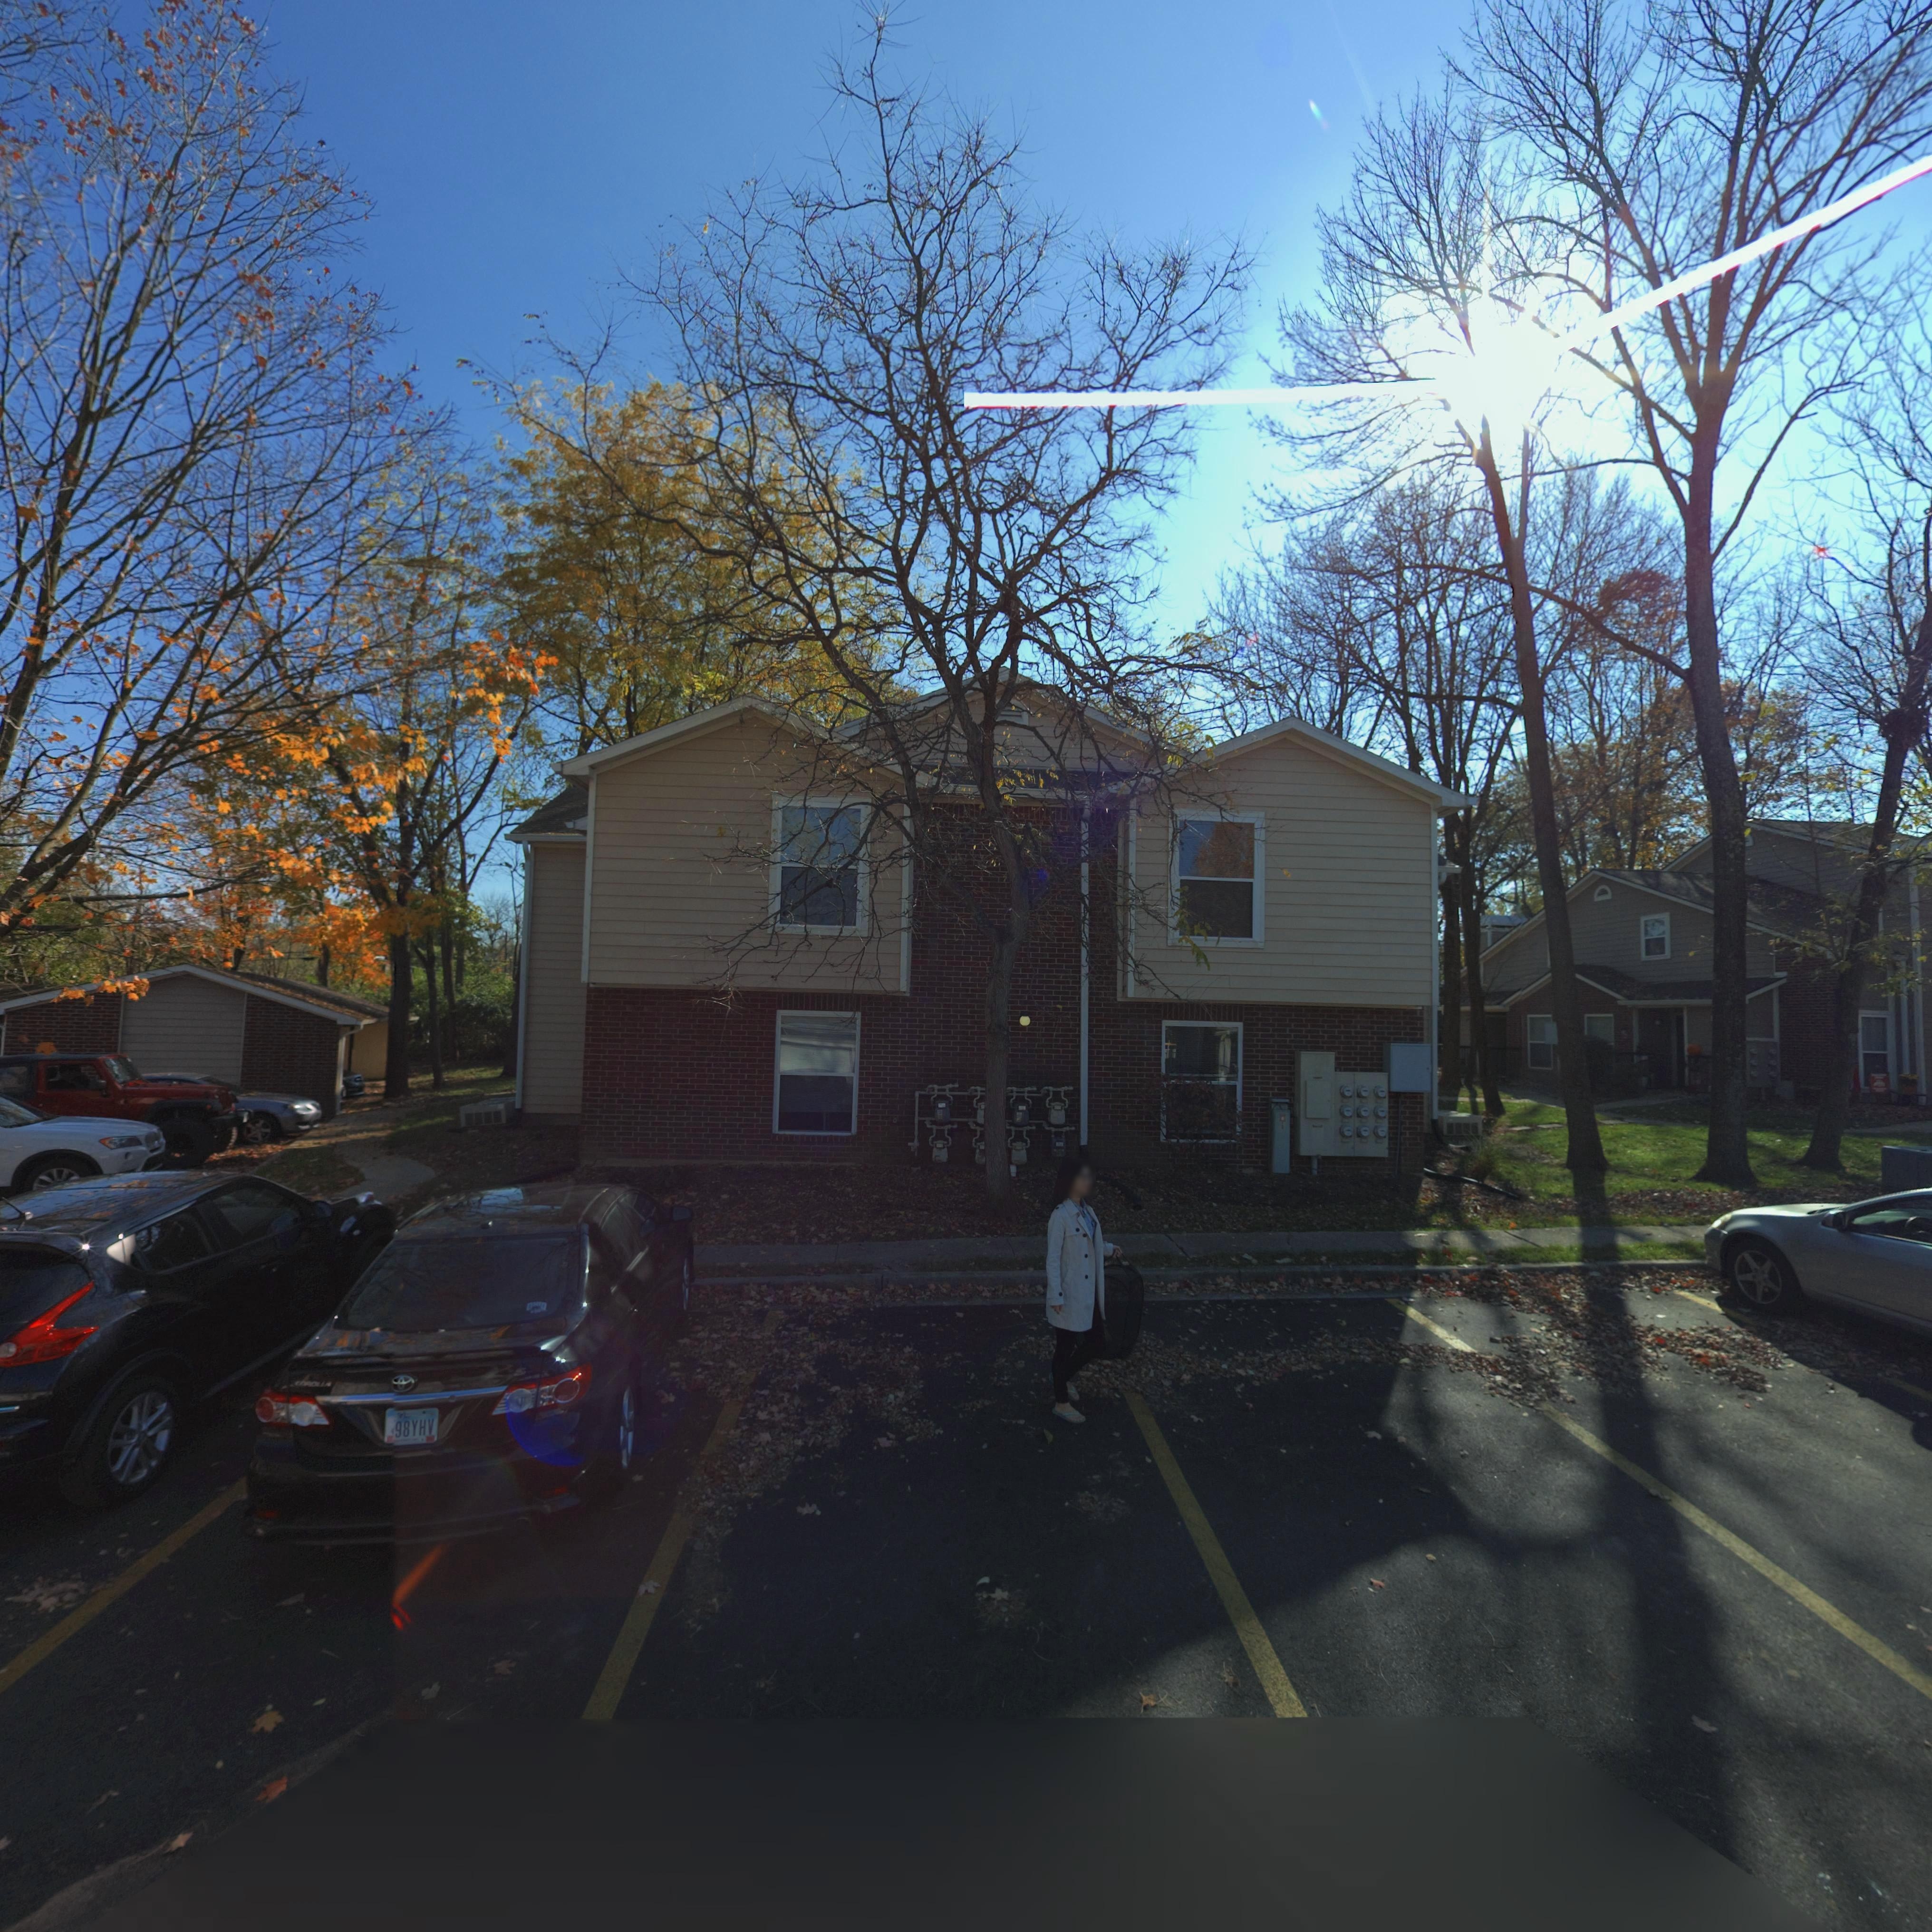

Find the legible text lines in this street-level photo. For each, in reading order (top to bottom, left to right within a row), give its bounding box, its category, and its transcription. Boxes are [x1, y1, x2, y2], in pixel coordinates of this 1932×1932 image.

[394, 1416, 436, 1439] None: 98YHV